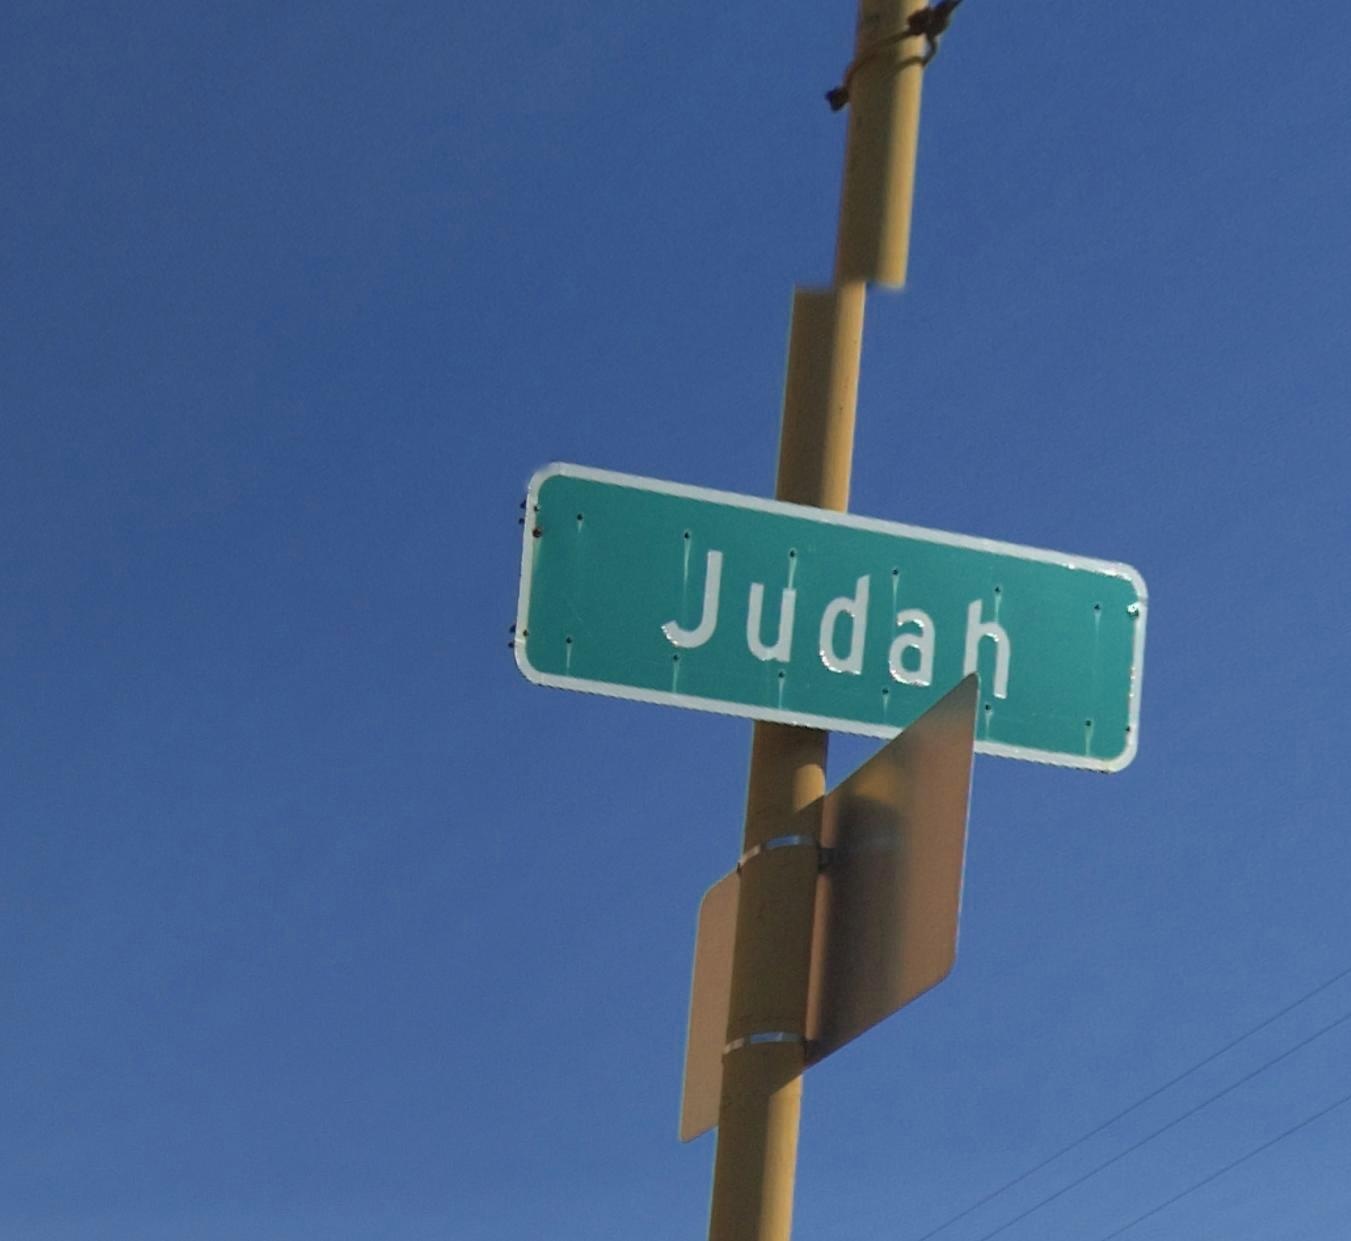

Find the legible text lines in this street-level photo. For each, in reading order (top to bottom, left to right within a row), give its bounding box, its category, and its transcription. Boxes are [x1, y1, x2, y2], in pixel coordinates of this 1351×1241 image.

[654, 538, 1022, 705] StreetName: Judah